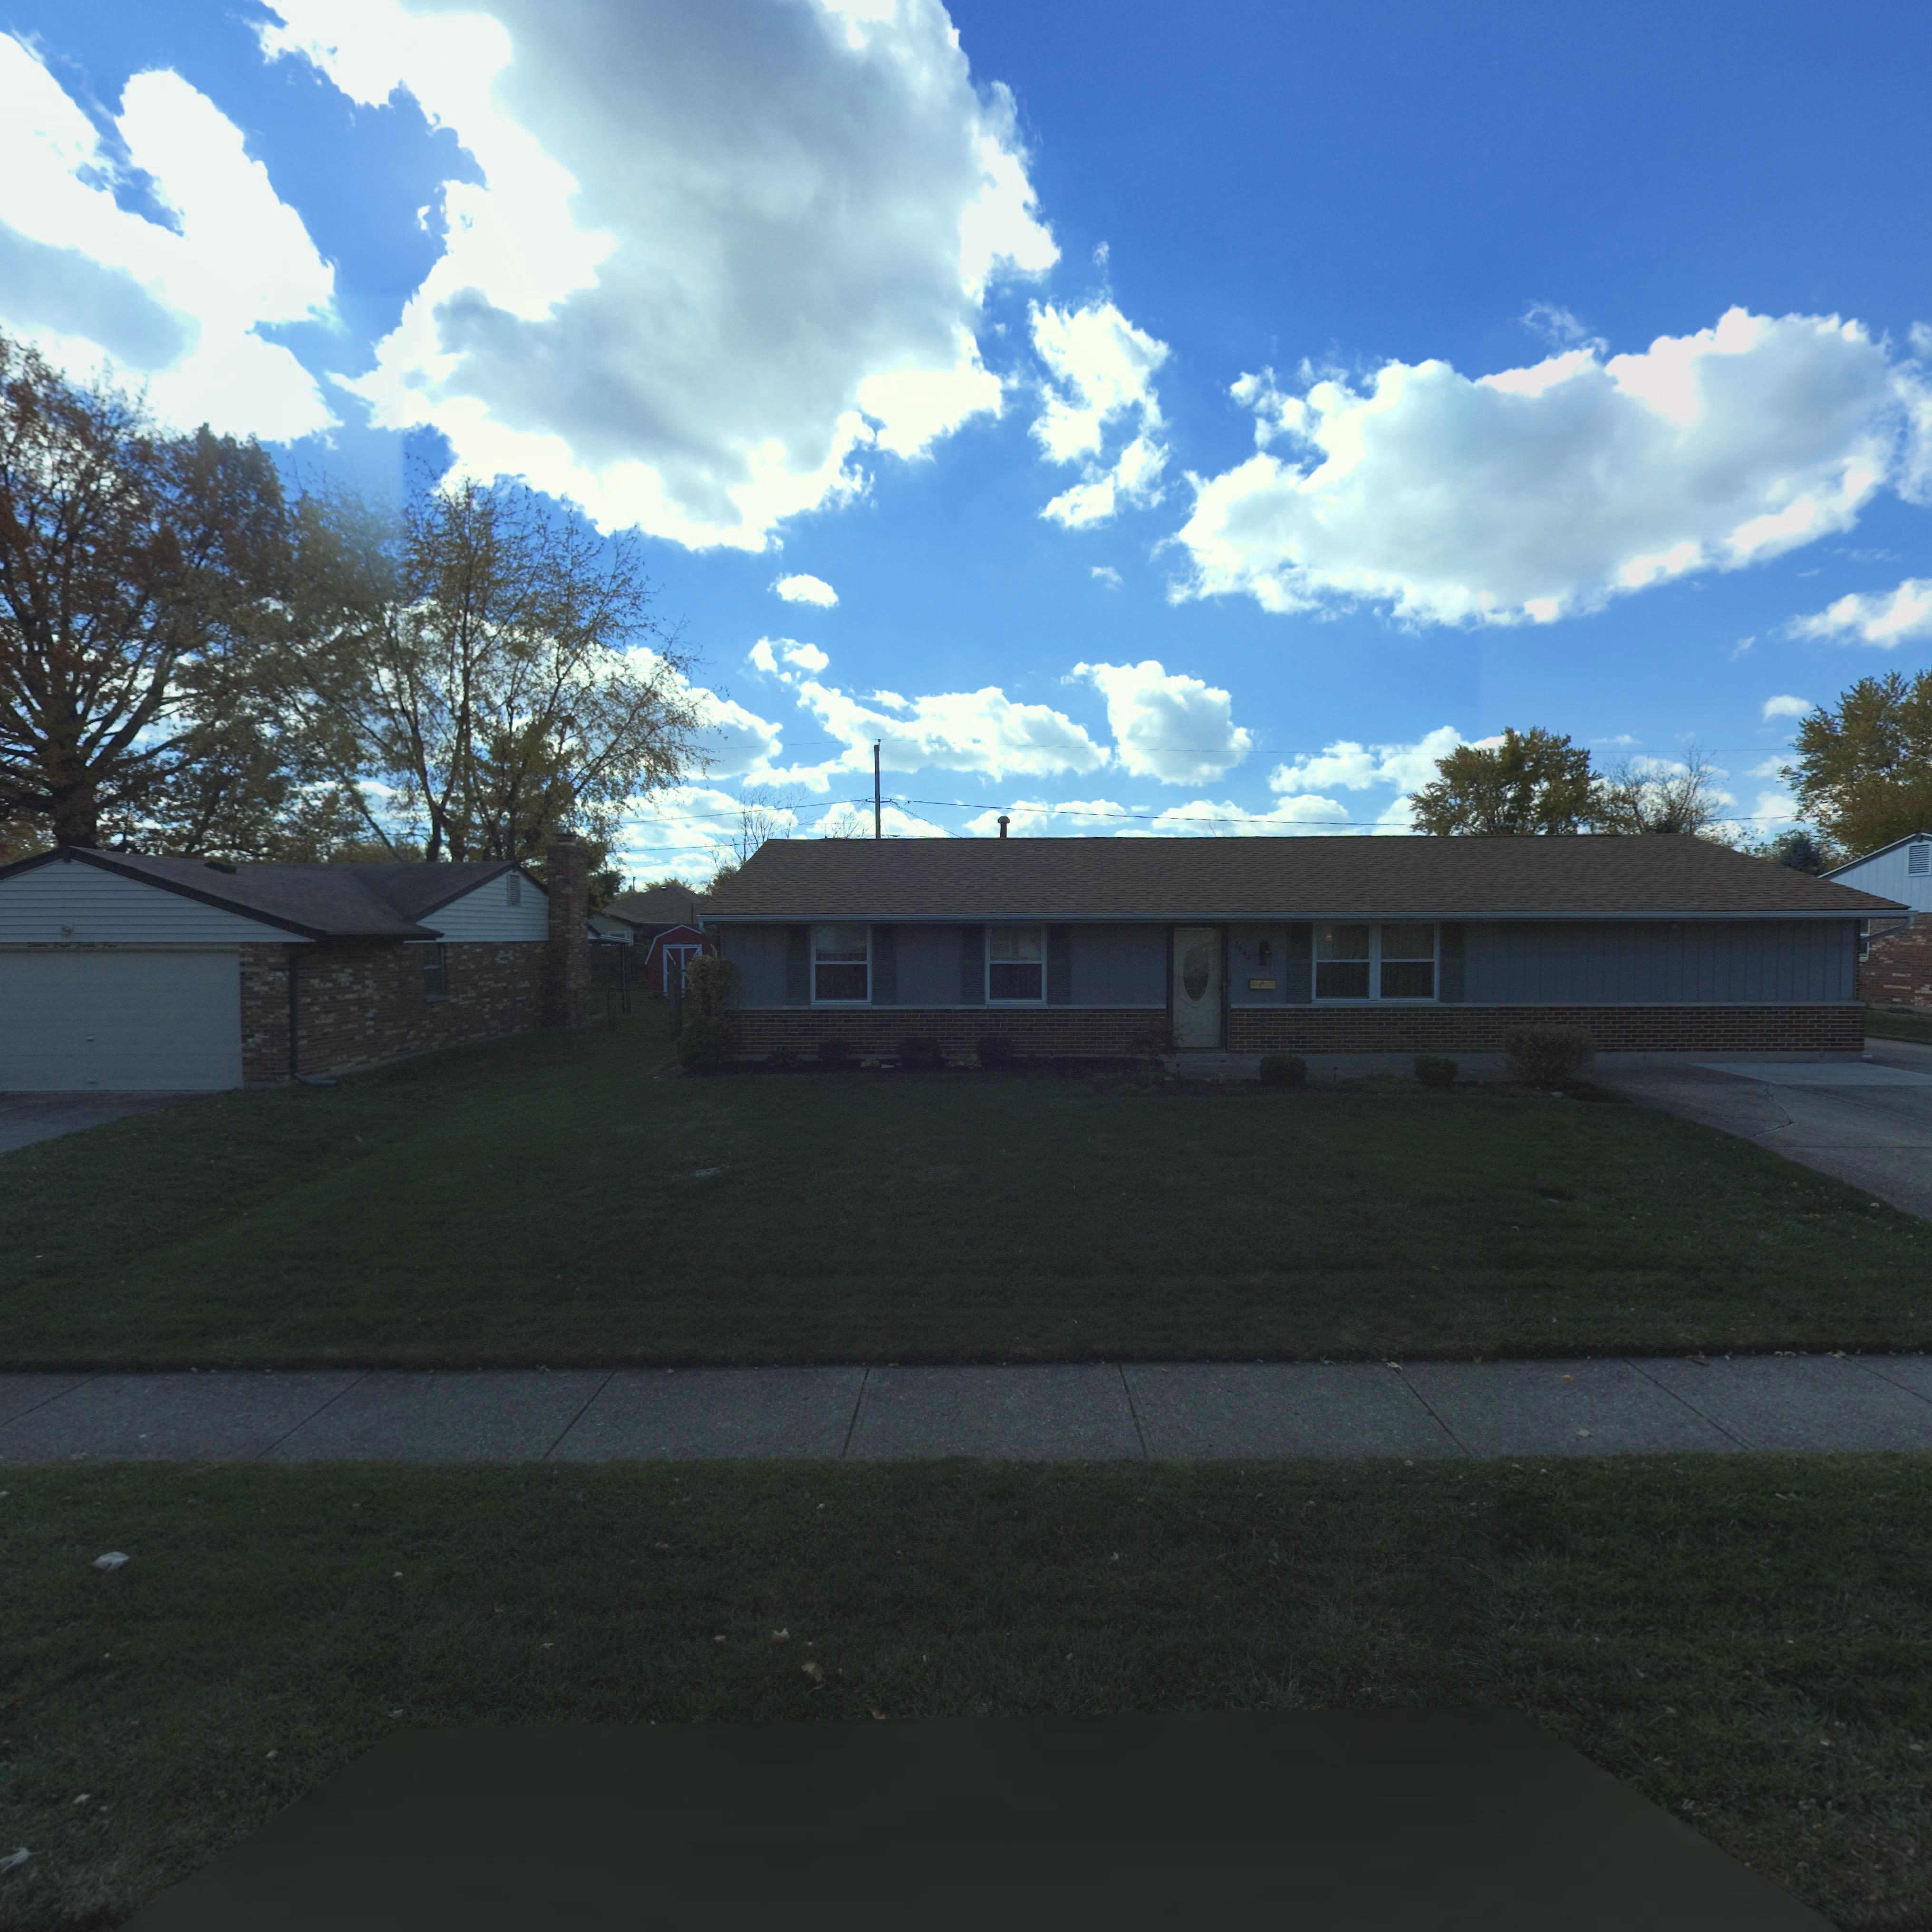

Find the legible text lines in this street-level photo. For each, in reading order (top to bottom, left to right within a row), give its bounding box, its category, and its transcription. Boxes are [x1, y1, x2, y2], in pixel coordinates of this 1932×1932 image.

[26, 941, 119, 948] StreetNumber: Seventy Eight Seventy Four
[1235, 940, 1251, 961] StreetNumber: 7882